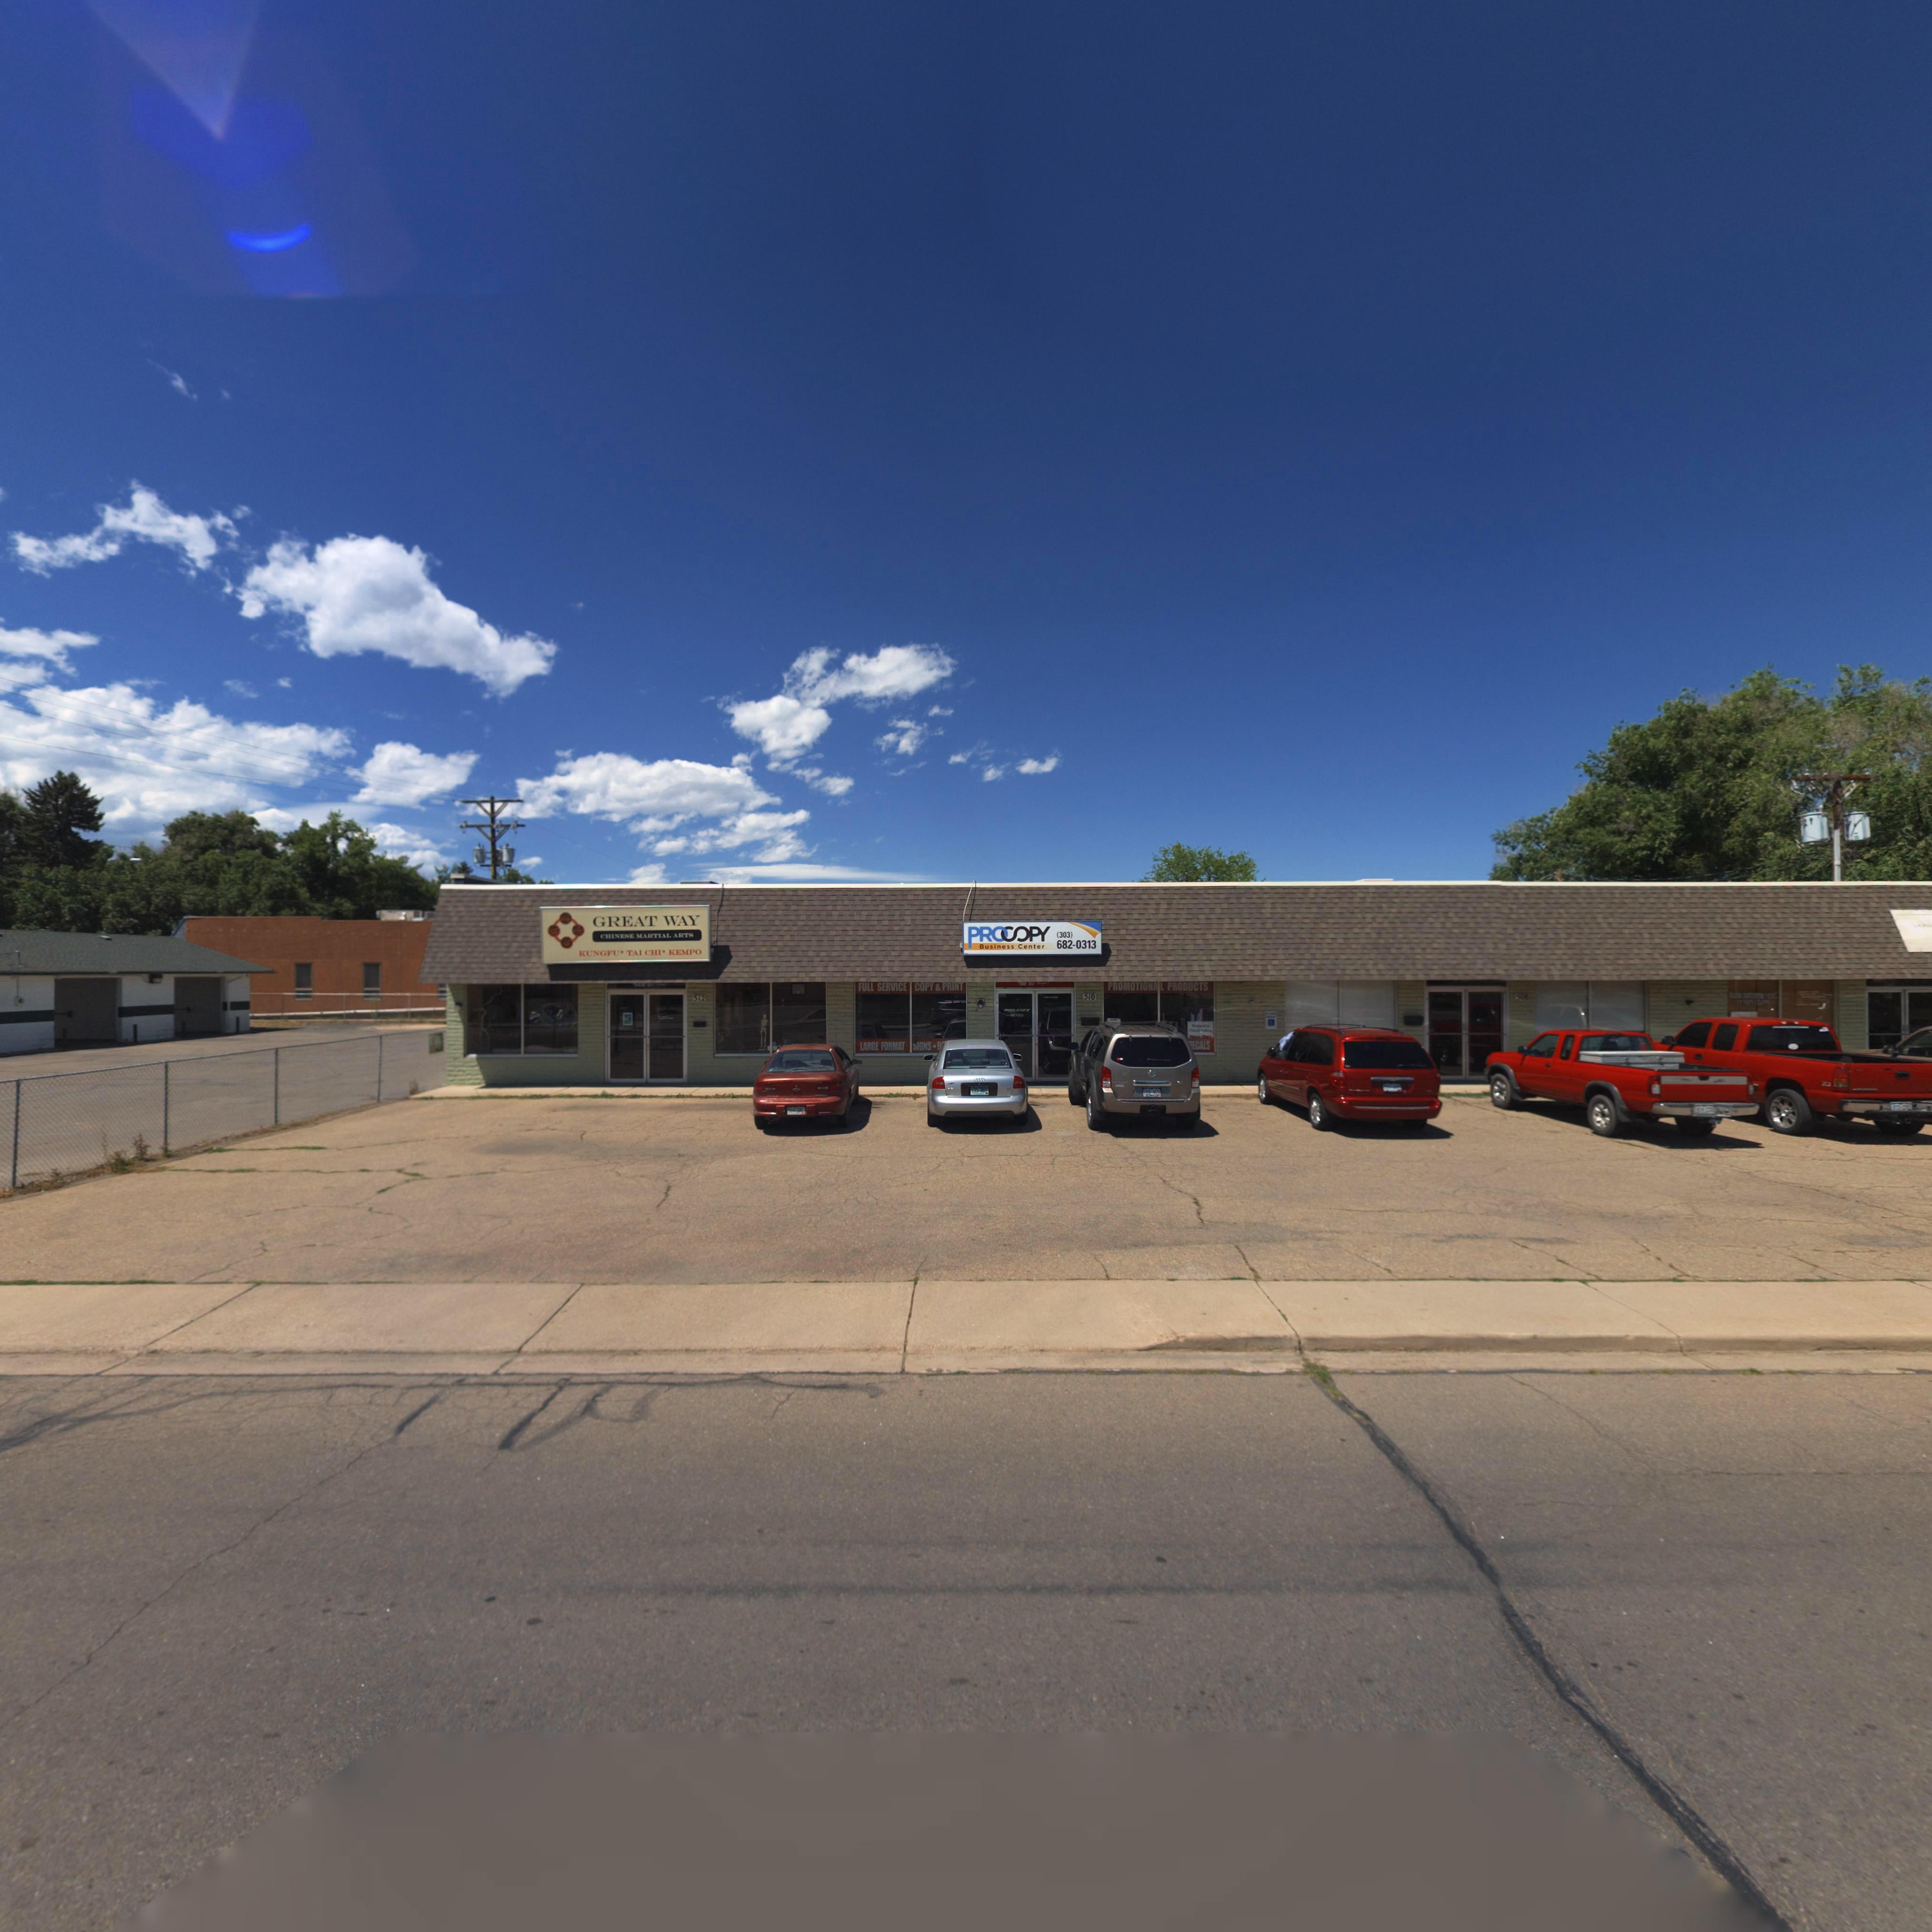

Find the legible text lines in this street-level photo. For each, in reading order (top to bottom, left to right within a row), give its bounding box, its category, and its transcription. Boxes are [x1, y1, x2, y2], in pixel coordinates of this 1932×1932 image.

[592, 914, 701, 927] BusinessName: GREAT WAY
[967, 926, 1051, 949] BusinessName: PROCOPY
[632, 982, 646, 987] StreetNumber: 512
[1018, 981, 1027, 985] StreetNumber: 510
[693, 995, 705, 1001] StreetNumber: 512
[1083, 993, 1095, 1000] StreetNumber: 510
[1515, 993, 1529, 1001] StreetNumber: *08
[1004, 1008, 1031, 1012] BusinessName: P******Y